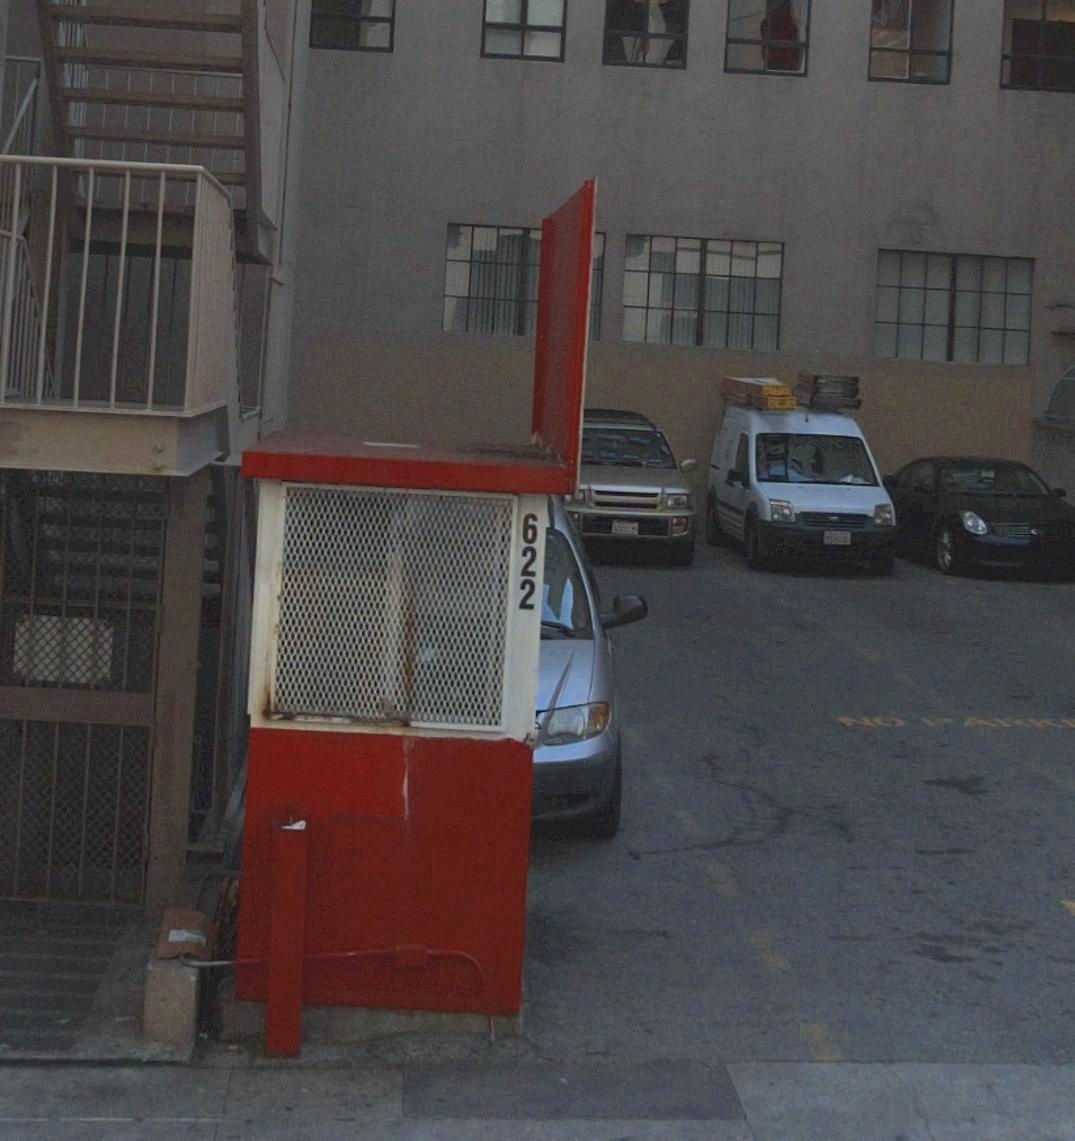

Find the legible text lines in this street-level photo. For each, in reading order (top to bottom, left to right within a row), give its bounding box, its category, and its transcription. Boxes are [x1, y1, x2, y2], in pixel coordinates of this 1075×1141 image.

[516, 511, 541, 612] StreetNumber: 622
[830, 711, 1065, 732] None: NO PARK